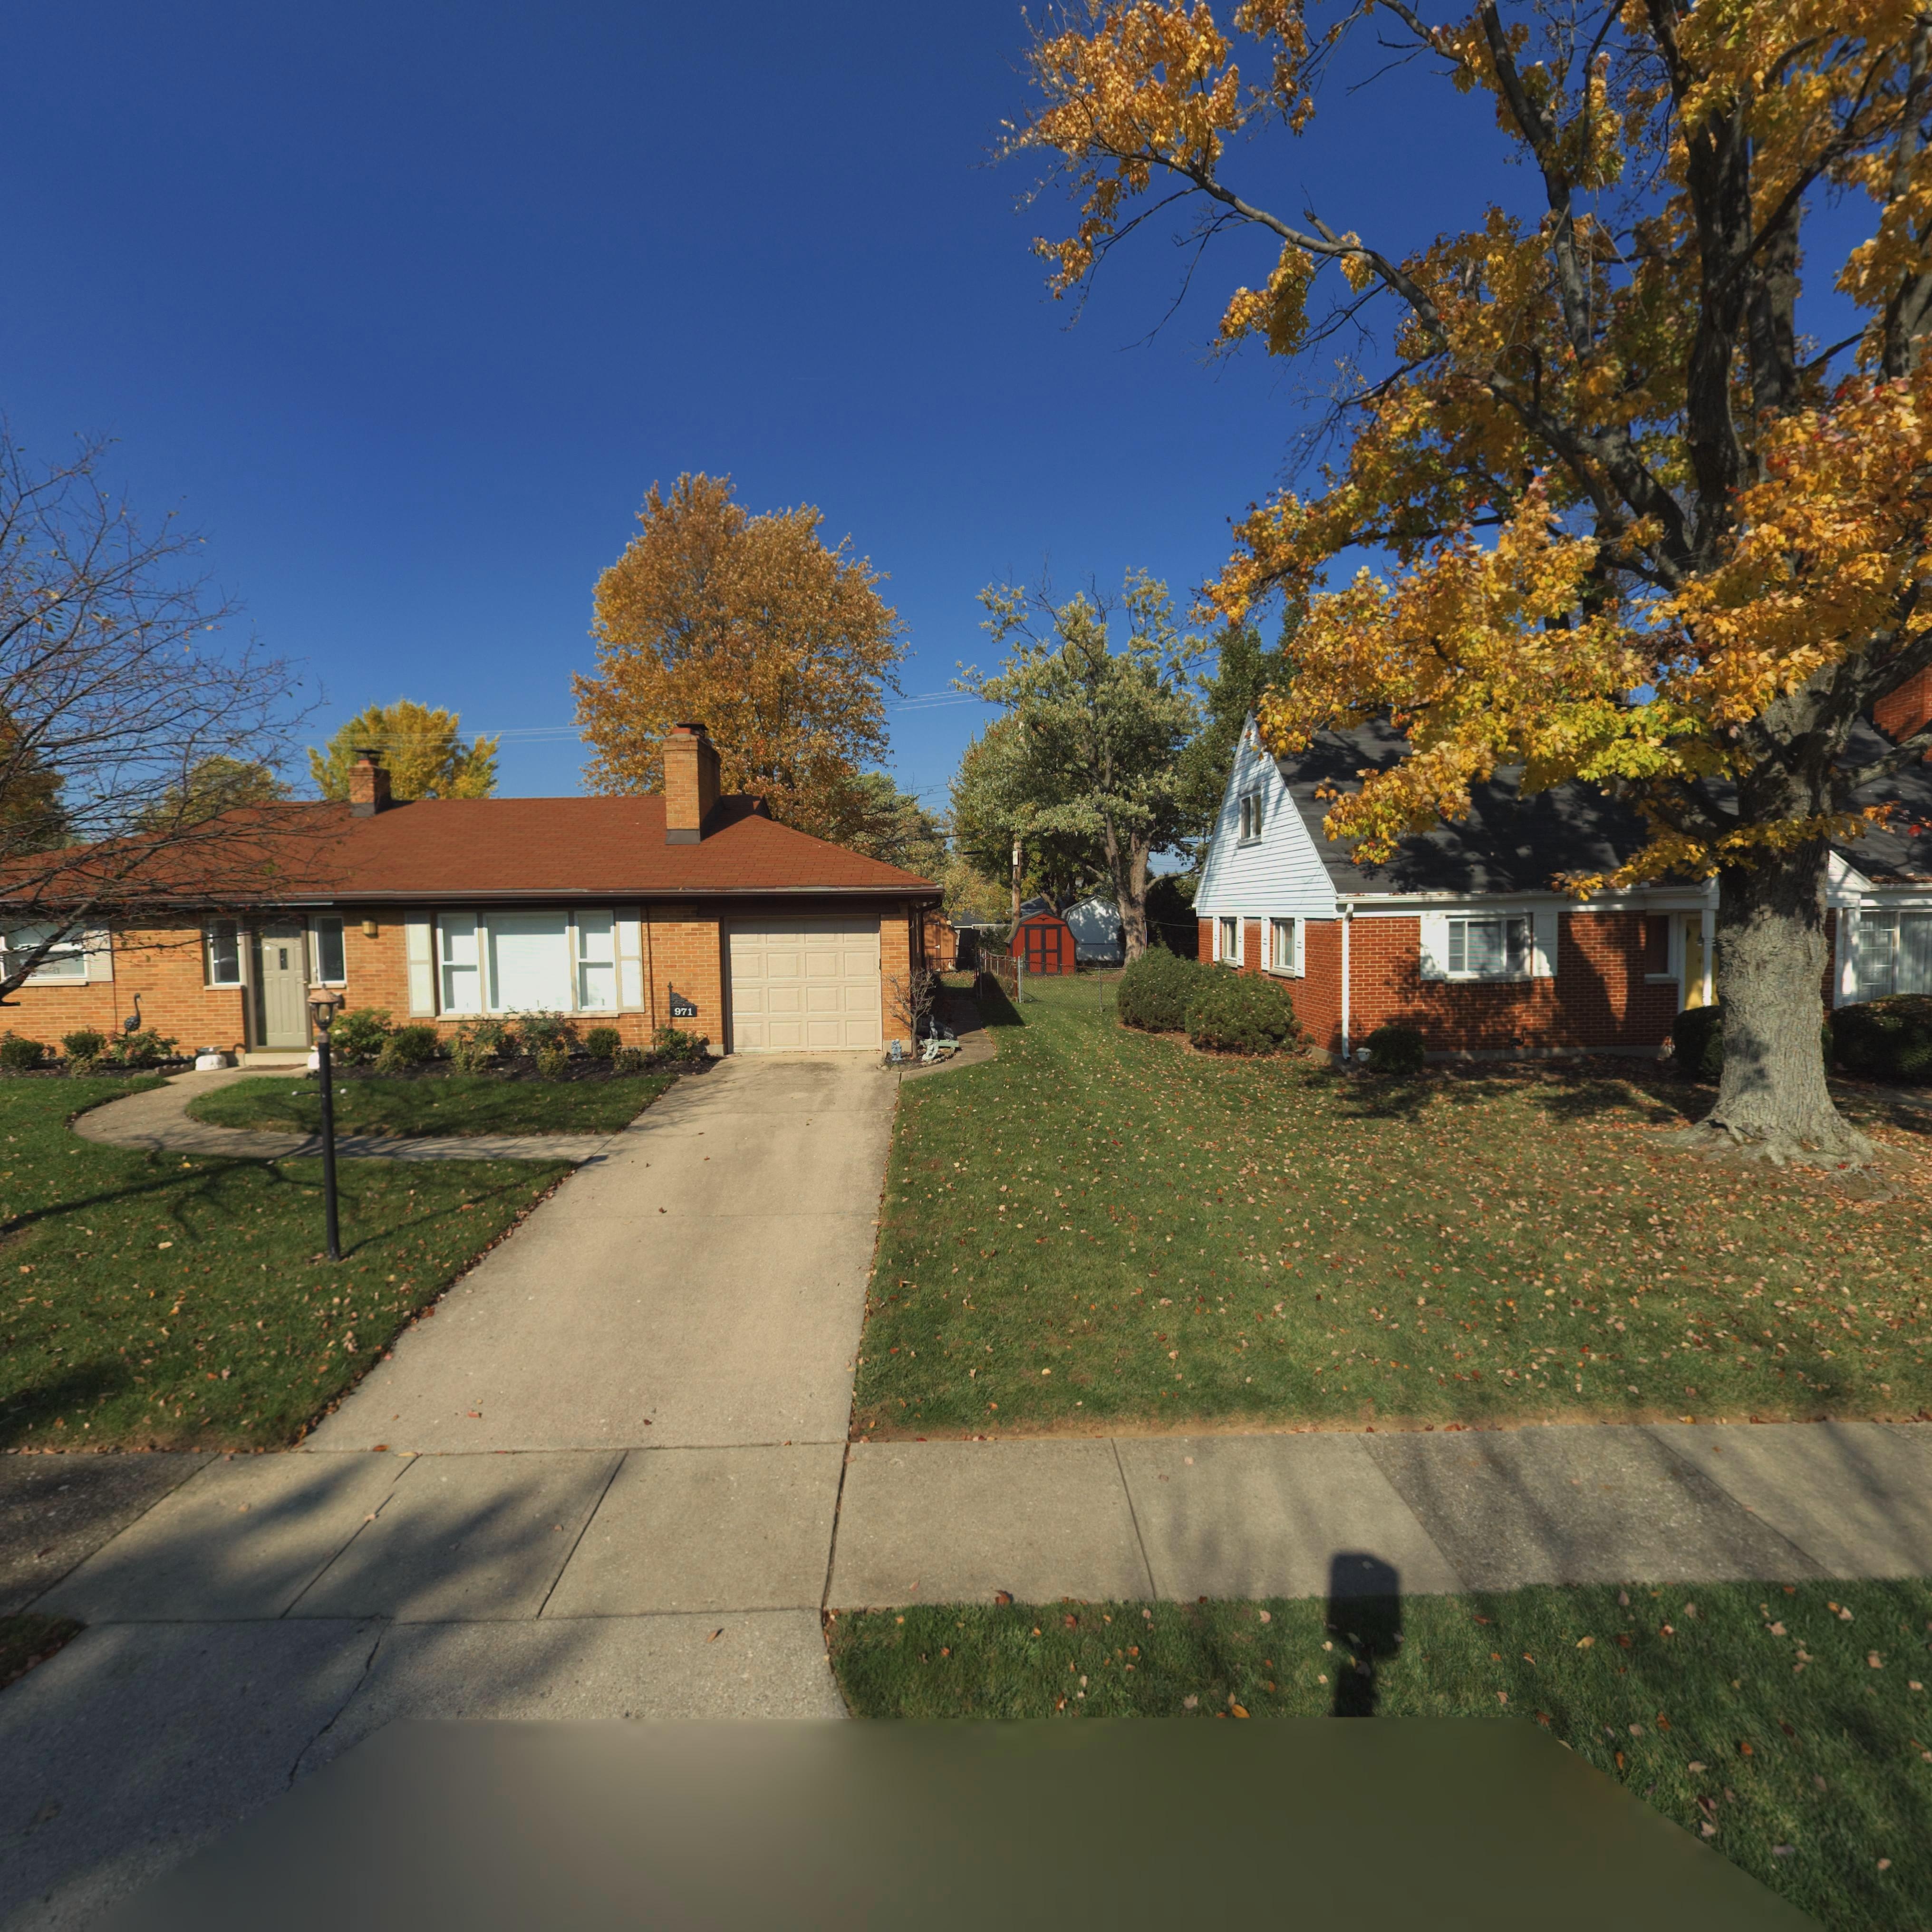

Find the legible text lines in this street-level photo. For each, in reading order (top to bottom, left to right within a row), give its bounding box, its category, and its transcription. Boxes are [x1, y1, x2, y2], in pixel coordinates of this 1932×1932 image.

[673, 1006, 694, 1017] StreetNumber: 971